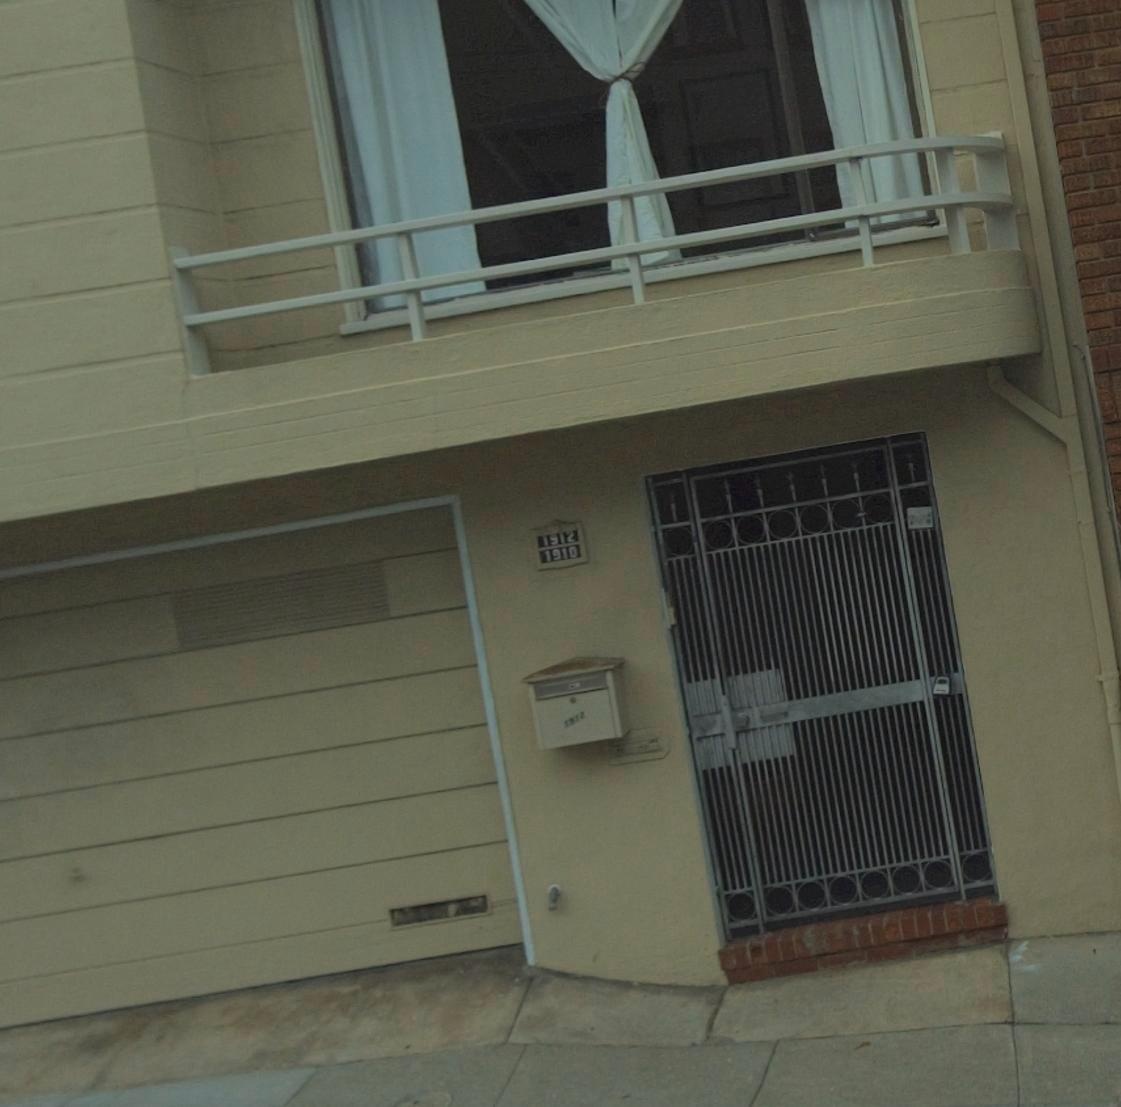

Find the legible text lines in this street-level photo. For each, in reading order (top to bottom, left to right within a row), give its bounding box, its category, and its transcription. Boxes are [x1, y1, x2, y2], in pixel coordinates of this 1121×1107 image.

[541, 529, 578, 548] StreetNumber: 1912
[543, 545, 578, 562] StreetNumber: 1910
[563, 709, 587, 730] StreetNumber: 1912